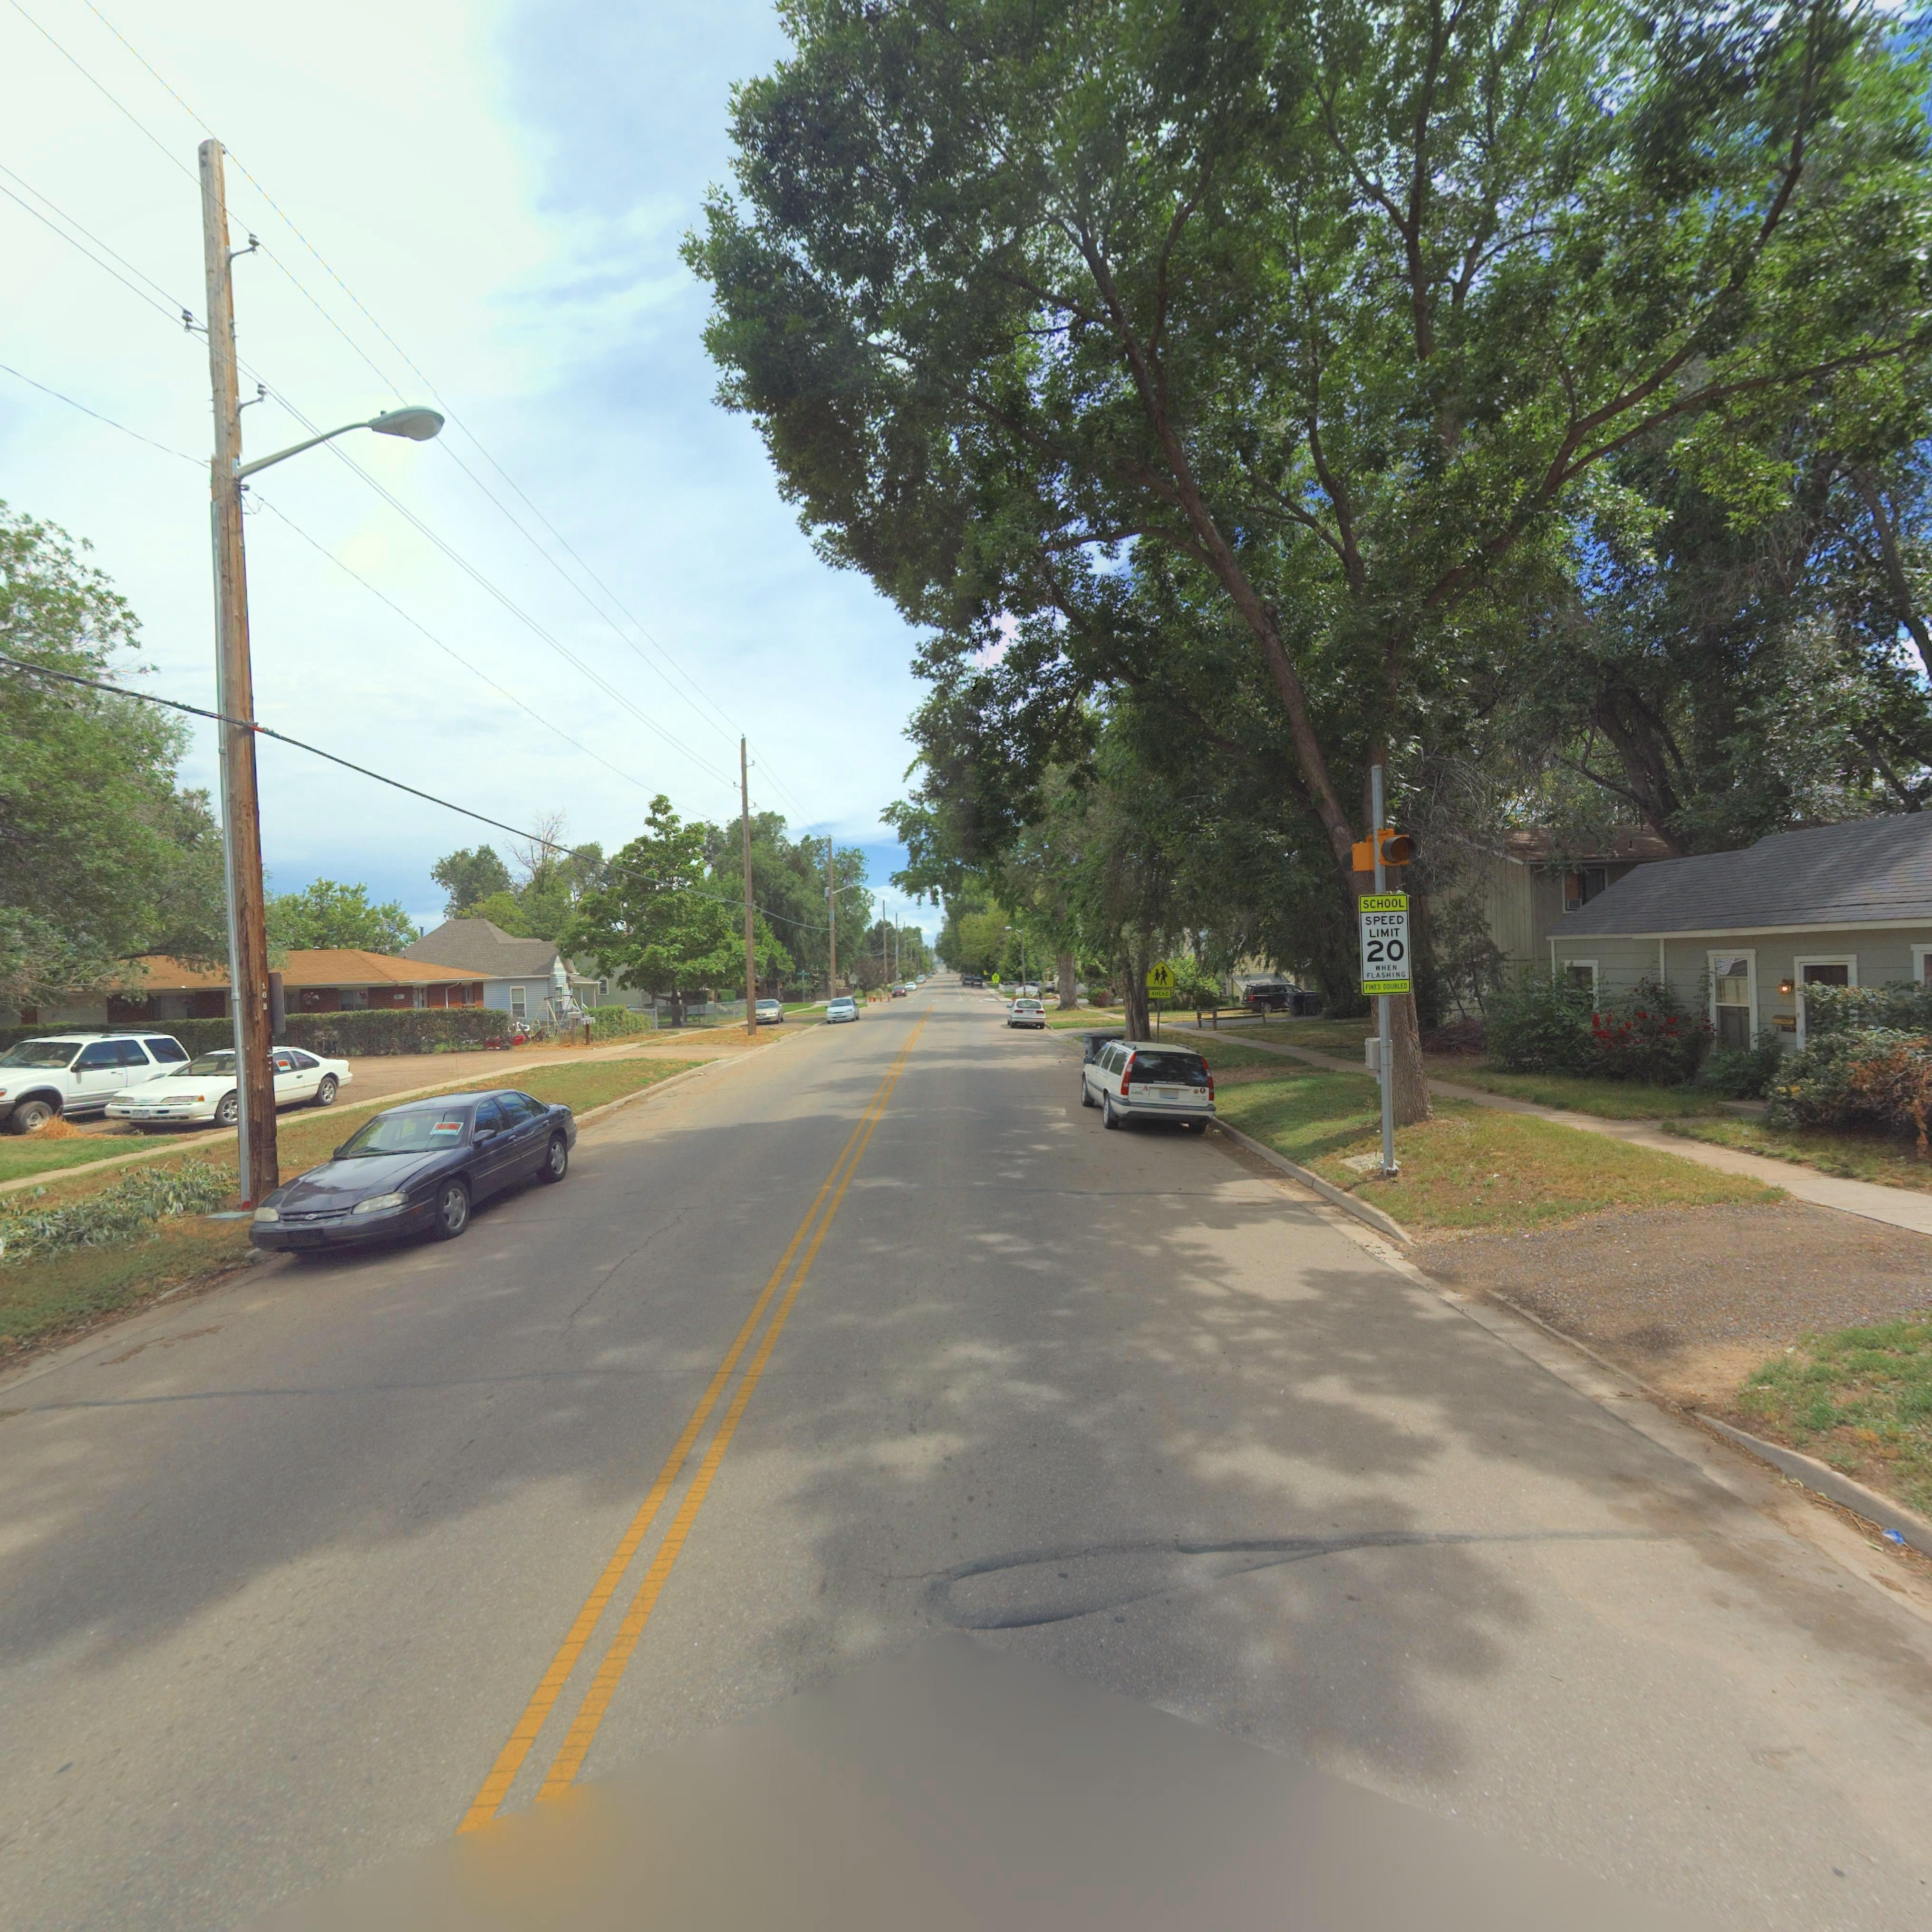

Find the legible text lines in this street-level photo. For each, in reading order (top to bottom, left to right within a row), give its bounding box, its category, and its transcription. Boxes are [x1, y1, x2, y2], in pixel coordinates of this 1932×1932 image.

[1365, 916, 1403, 925] TrafficSign: SPEED